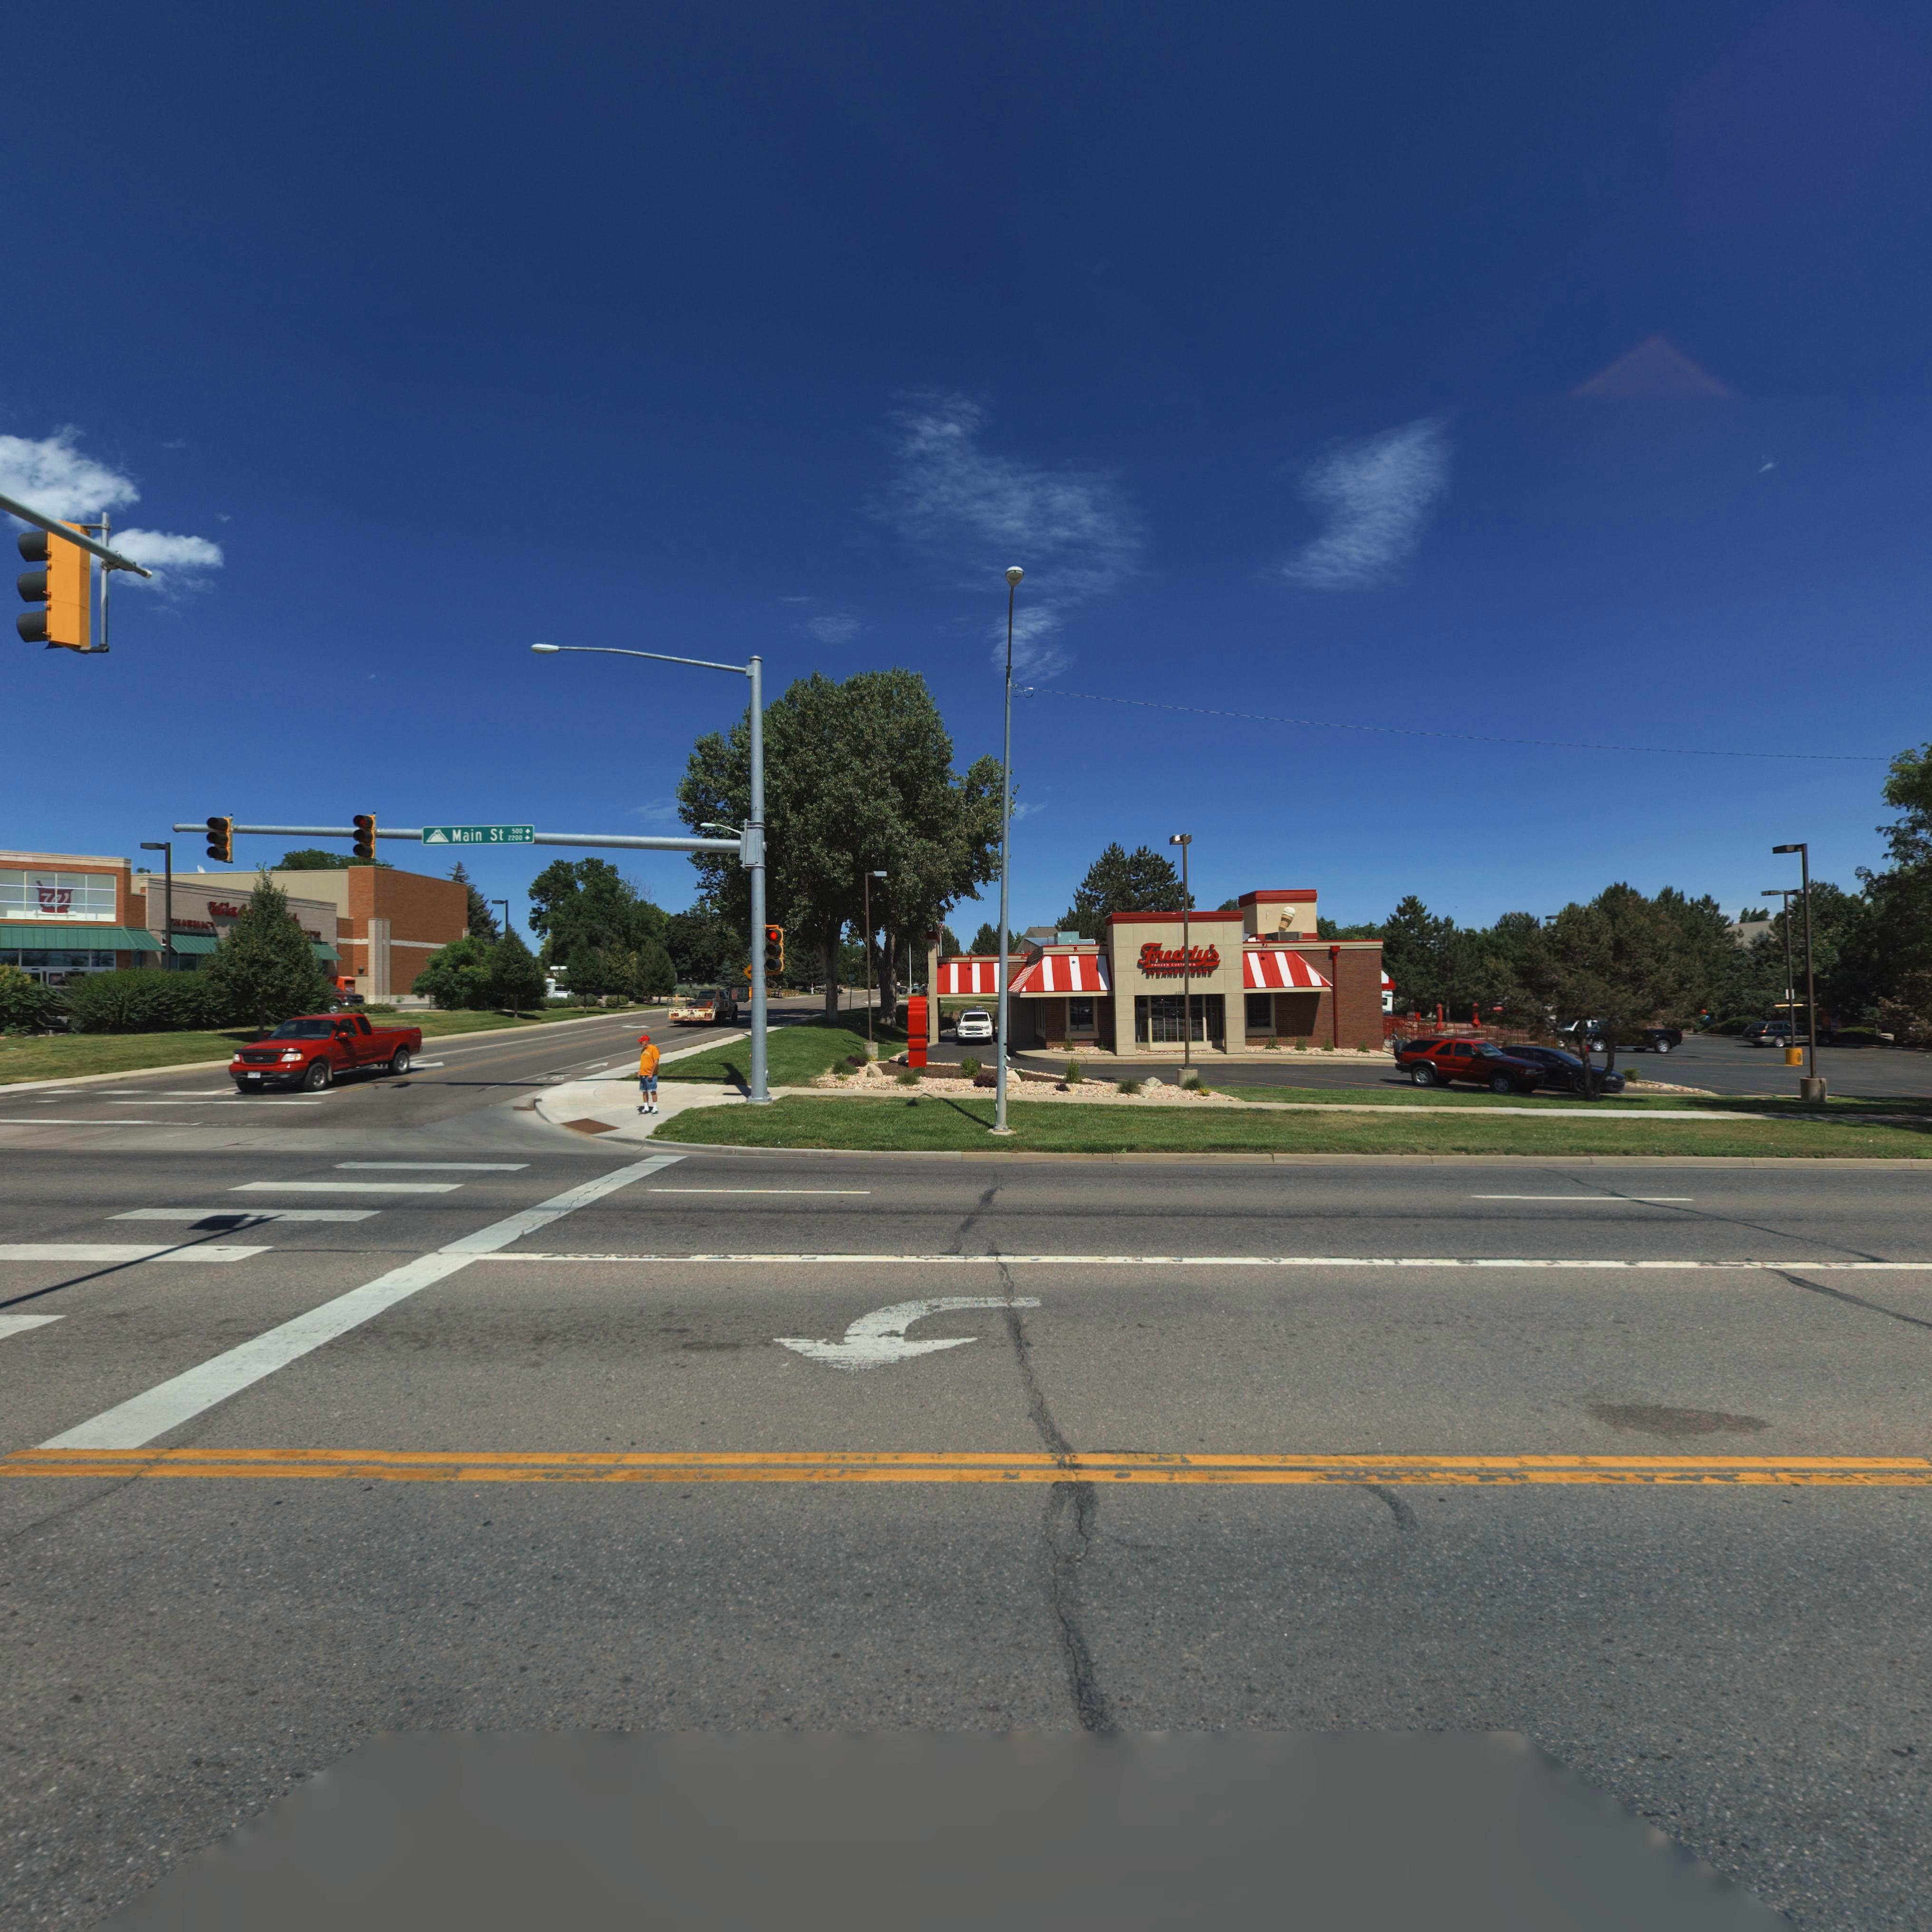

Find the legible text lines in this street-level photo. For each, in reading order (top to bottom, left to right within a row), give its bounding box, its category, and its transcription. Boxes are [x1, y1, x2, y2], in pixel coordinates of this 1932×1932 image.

[452, 828, 504, 841] StreetName: Main St
[512, 828, 523, 834] StreetNumberRange: 500
[508, 835, 530, 840] StreetNumberRange: 2200 ->
[208, 901, 299, 924] BusinessName: Wa*******
[1138, 941, 1219, 970] BusinessName: Fred*y's
[1175, 991, 1184, 994] StreetNumber: ***0